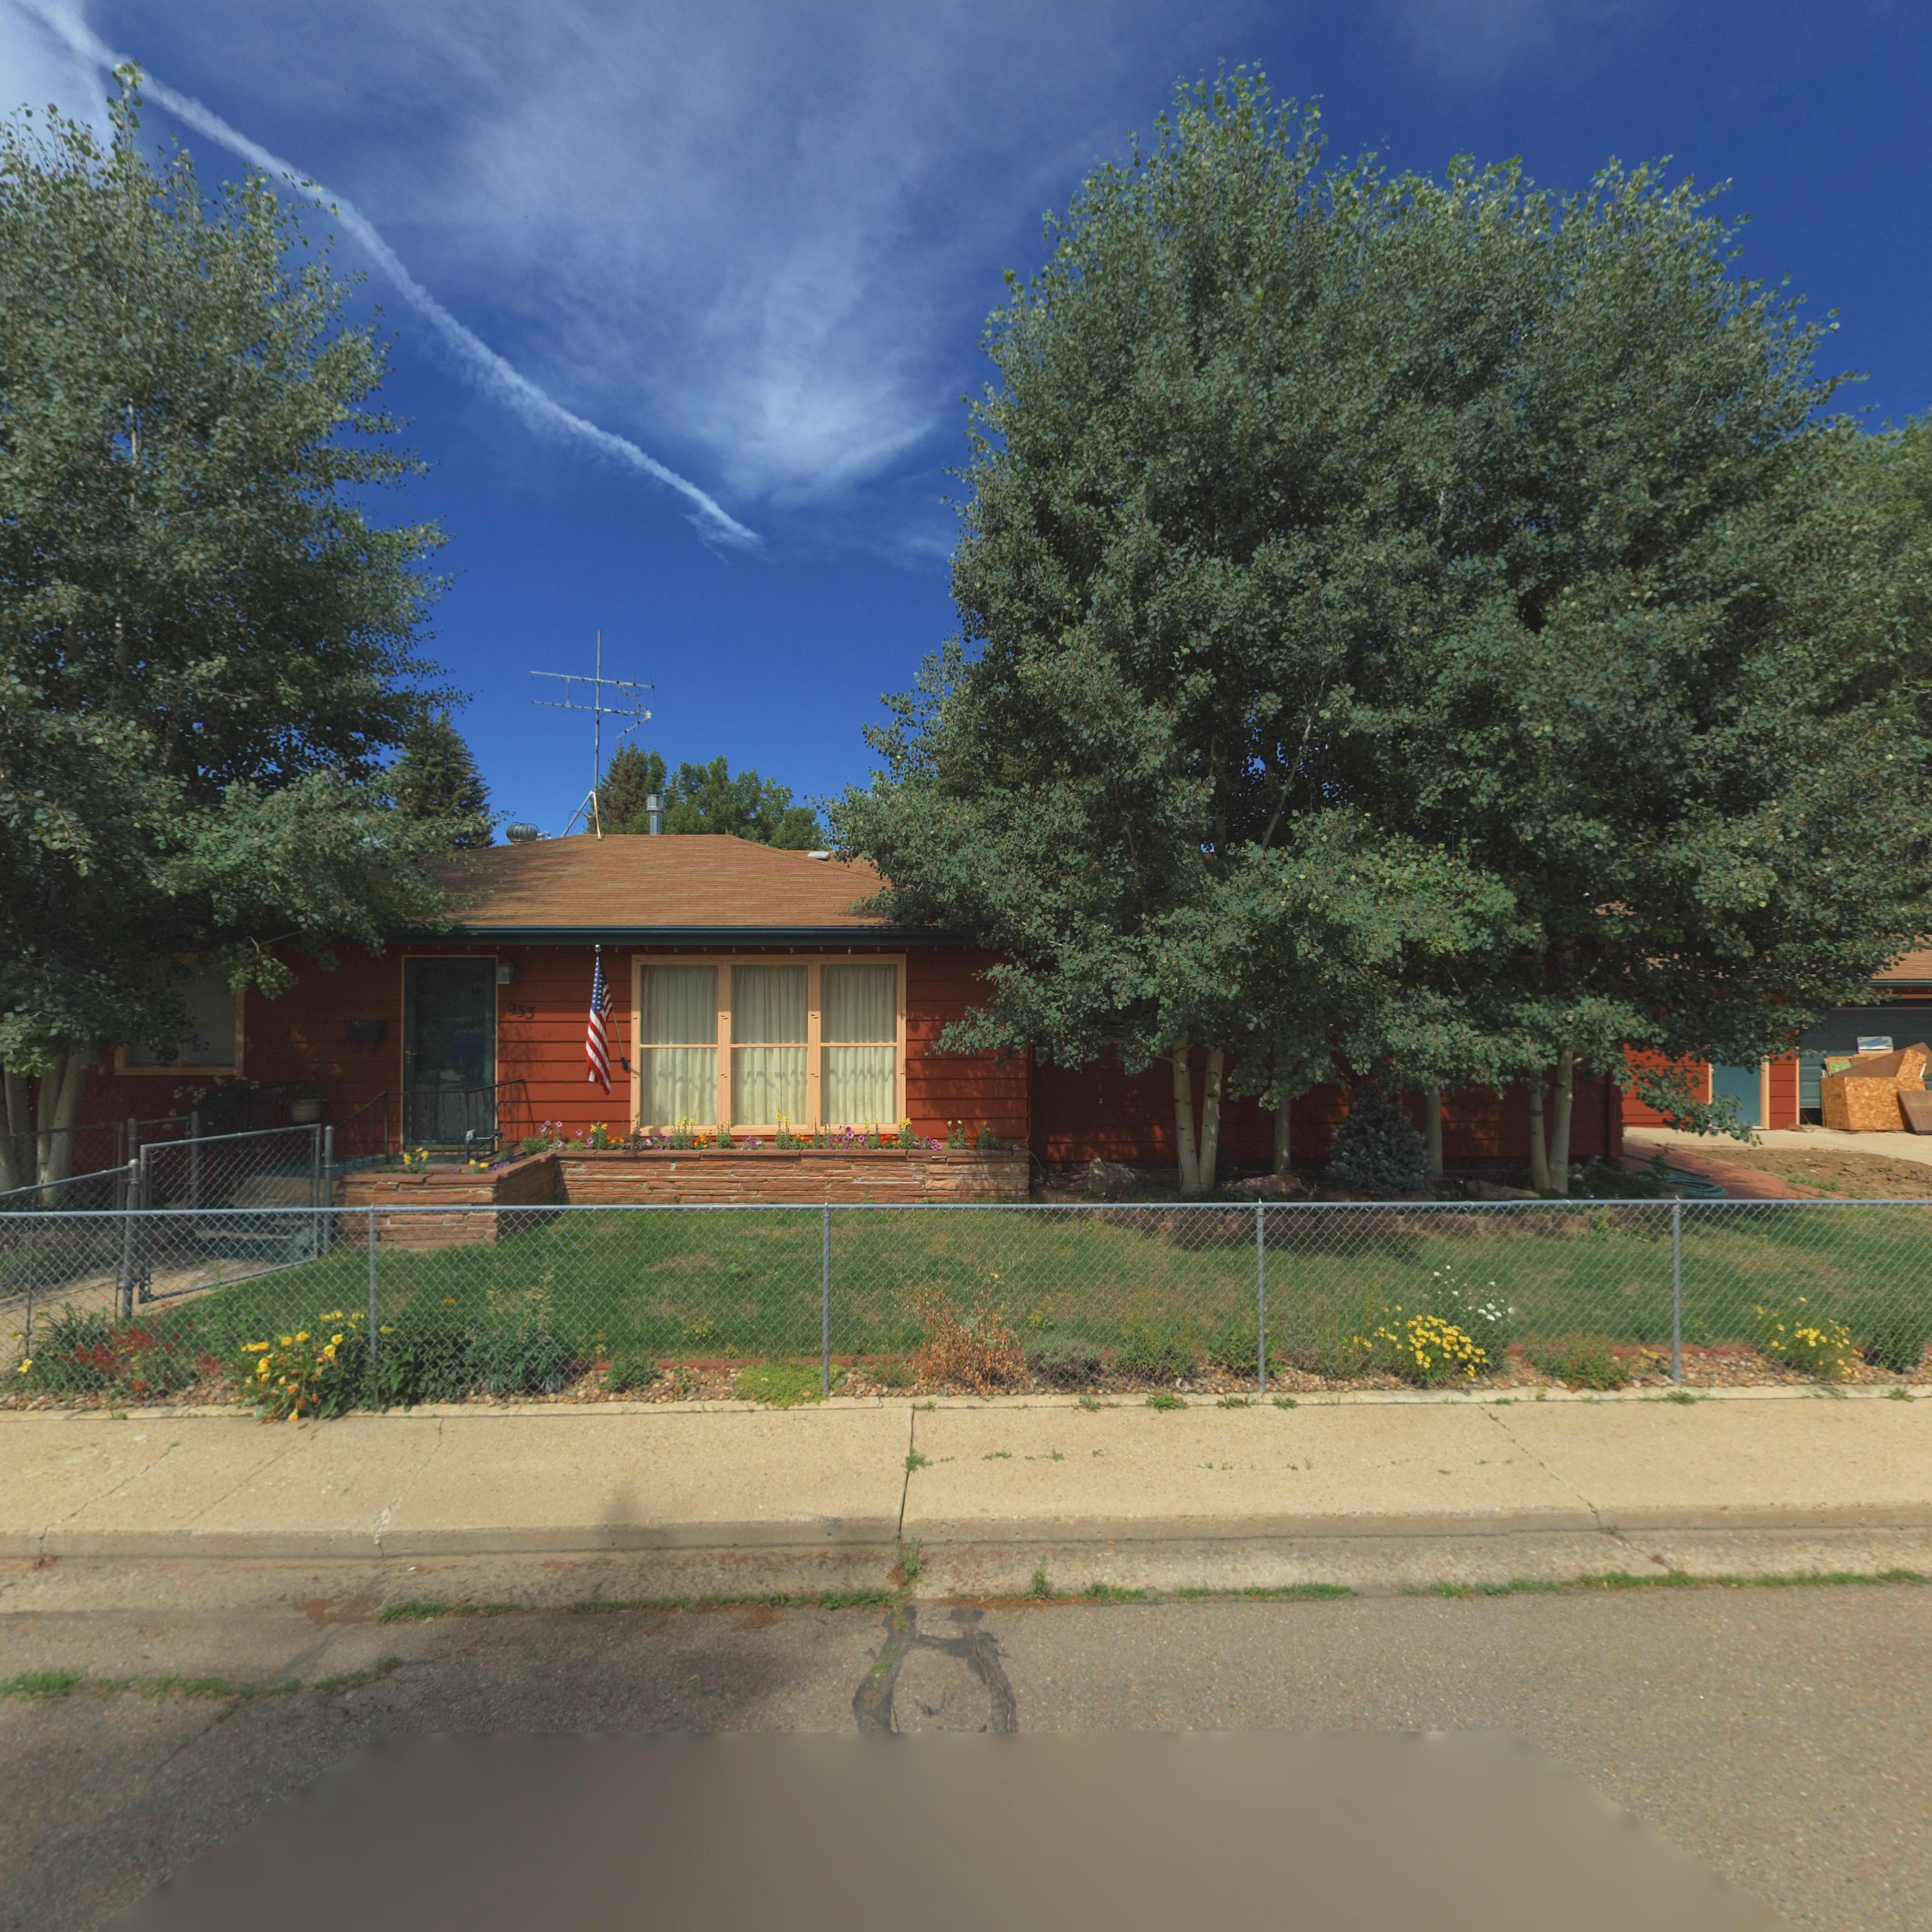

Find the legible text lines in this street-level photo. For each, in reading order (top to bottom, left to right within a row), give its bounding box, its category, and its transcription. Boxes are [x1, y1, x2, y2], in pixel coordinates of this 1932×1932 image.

[507, 1002, 535, 1020] StreetNumber: 933